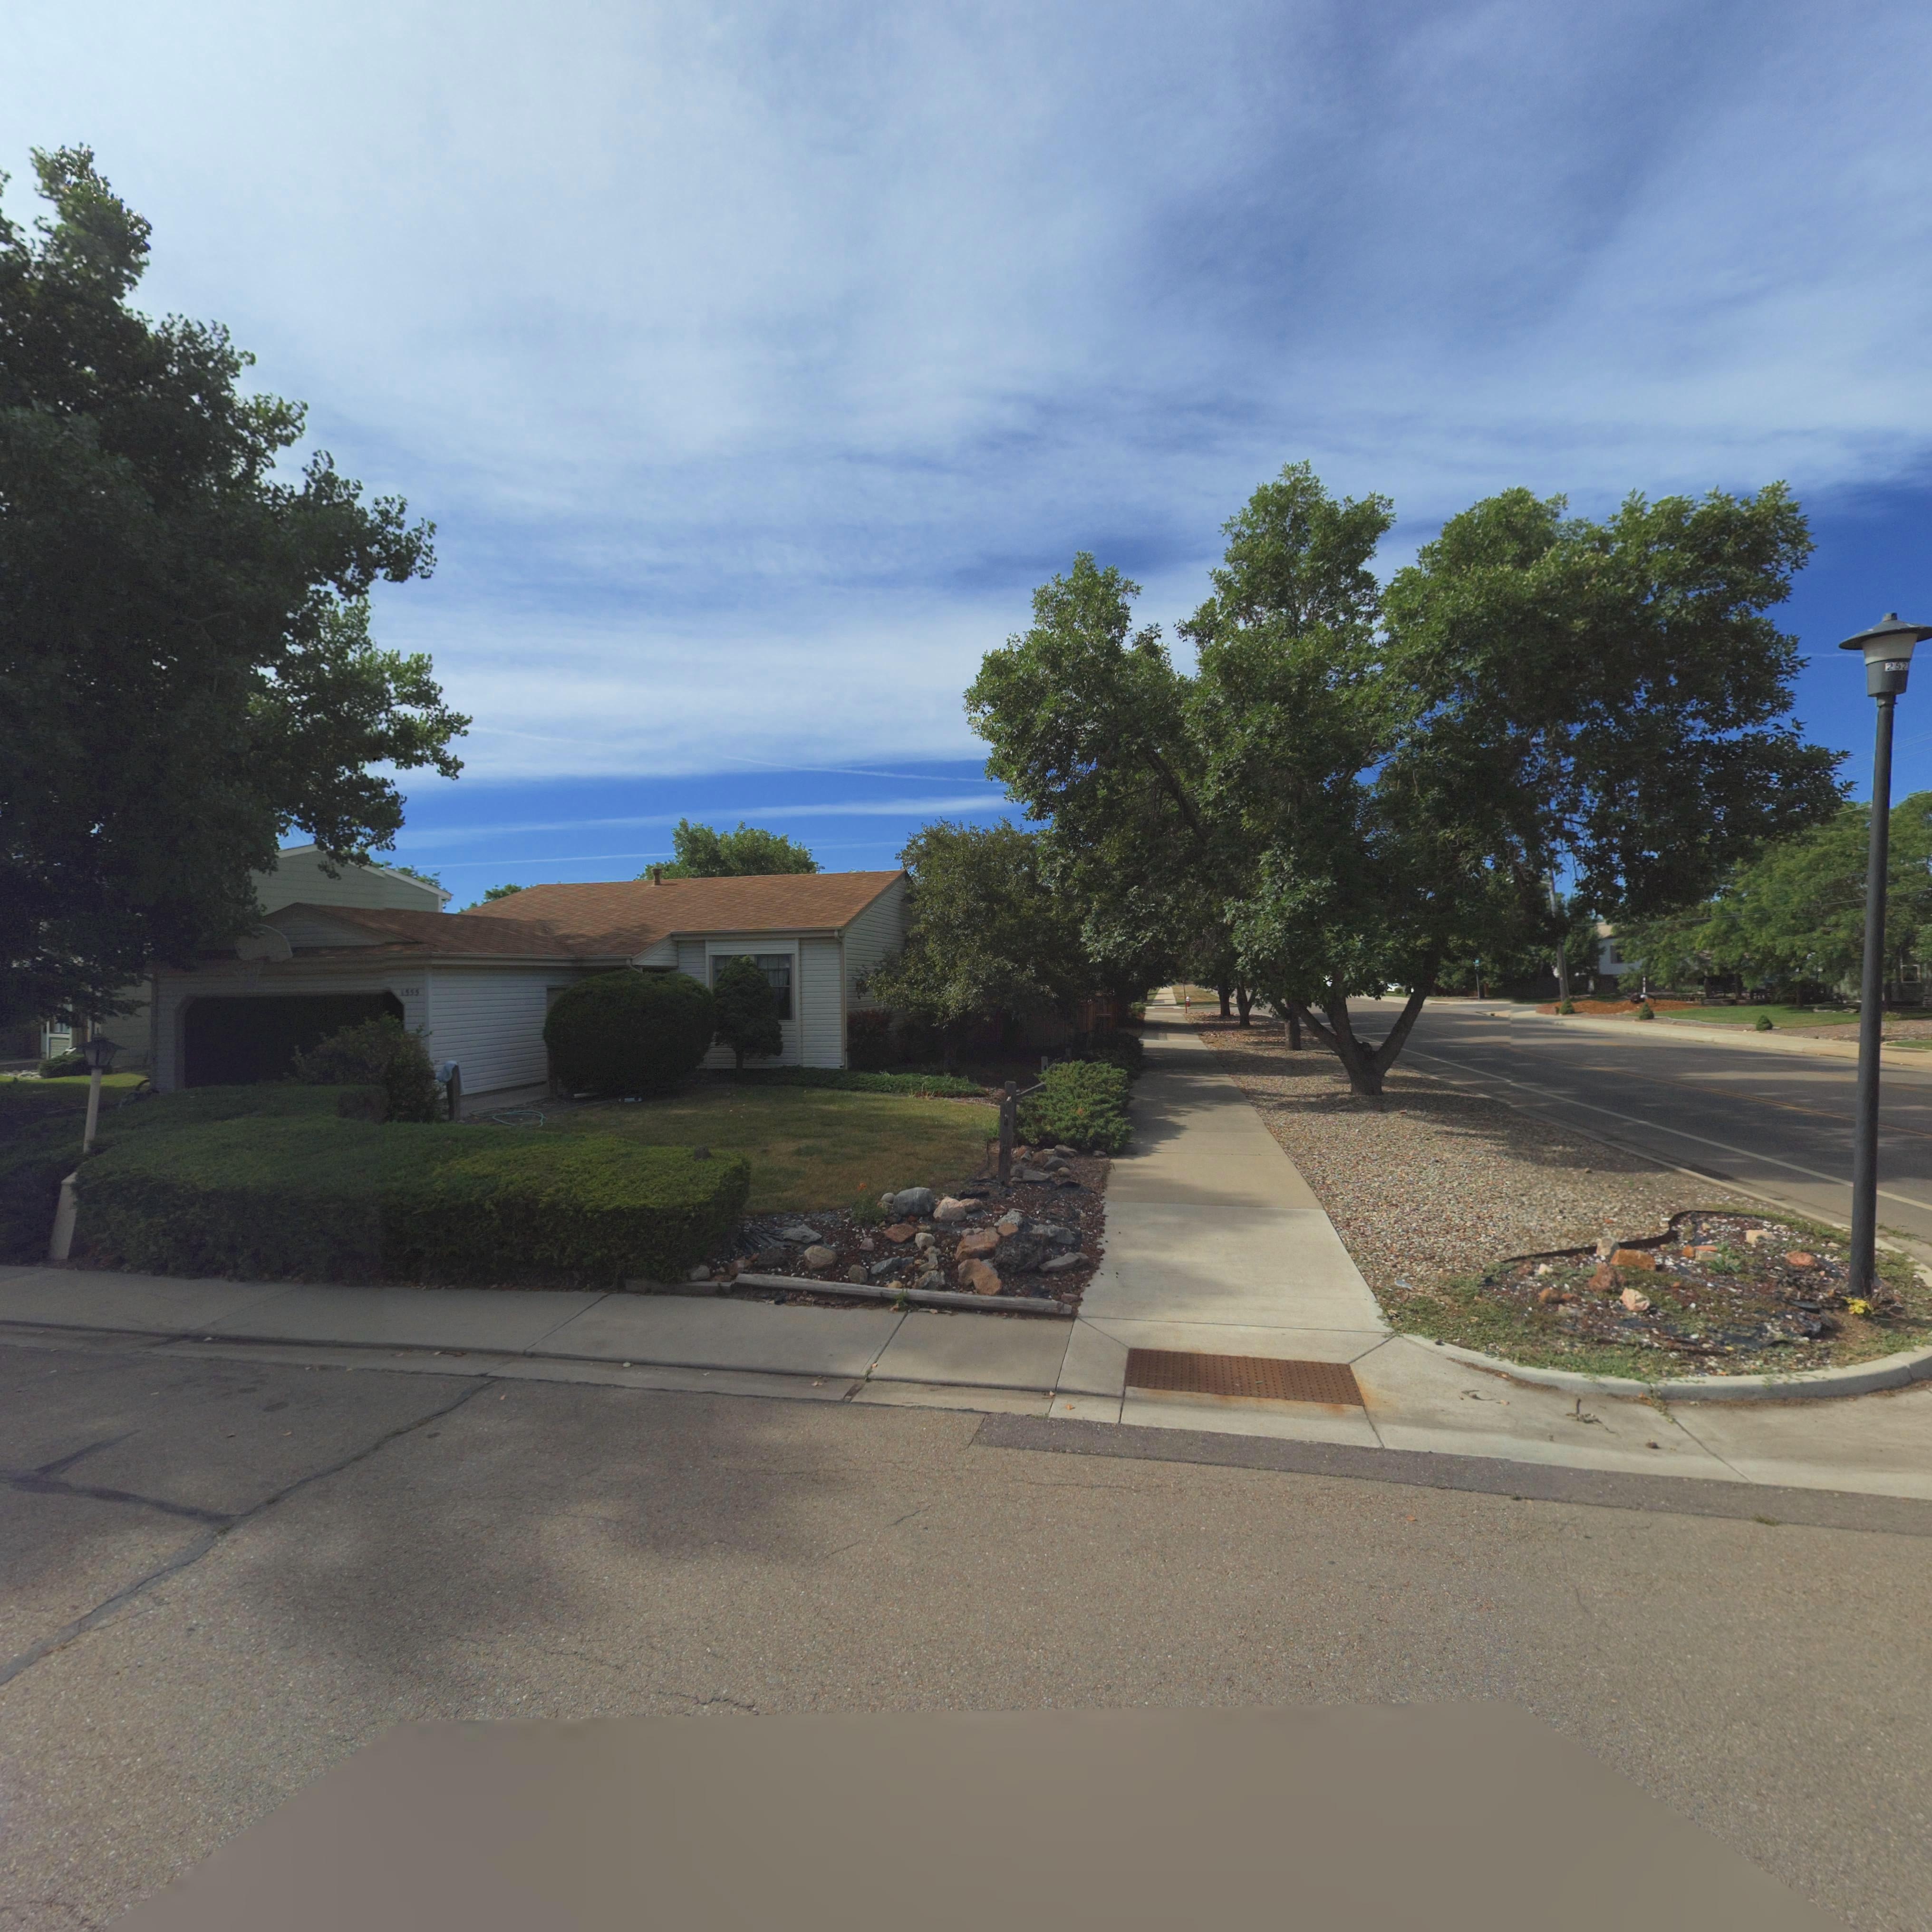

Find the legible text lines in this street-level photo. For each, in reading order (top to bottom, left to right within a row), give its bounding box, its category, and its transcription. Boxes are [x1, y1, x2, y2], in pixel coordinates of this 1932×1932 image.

[400, 988, 419, 996] StreetNumber: 1555